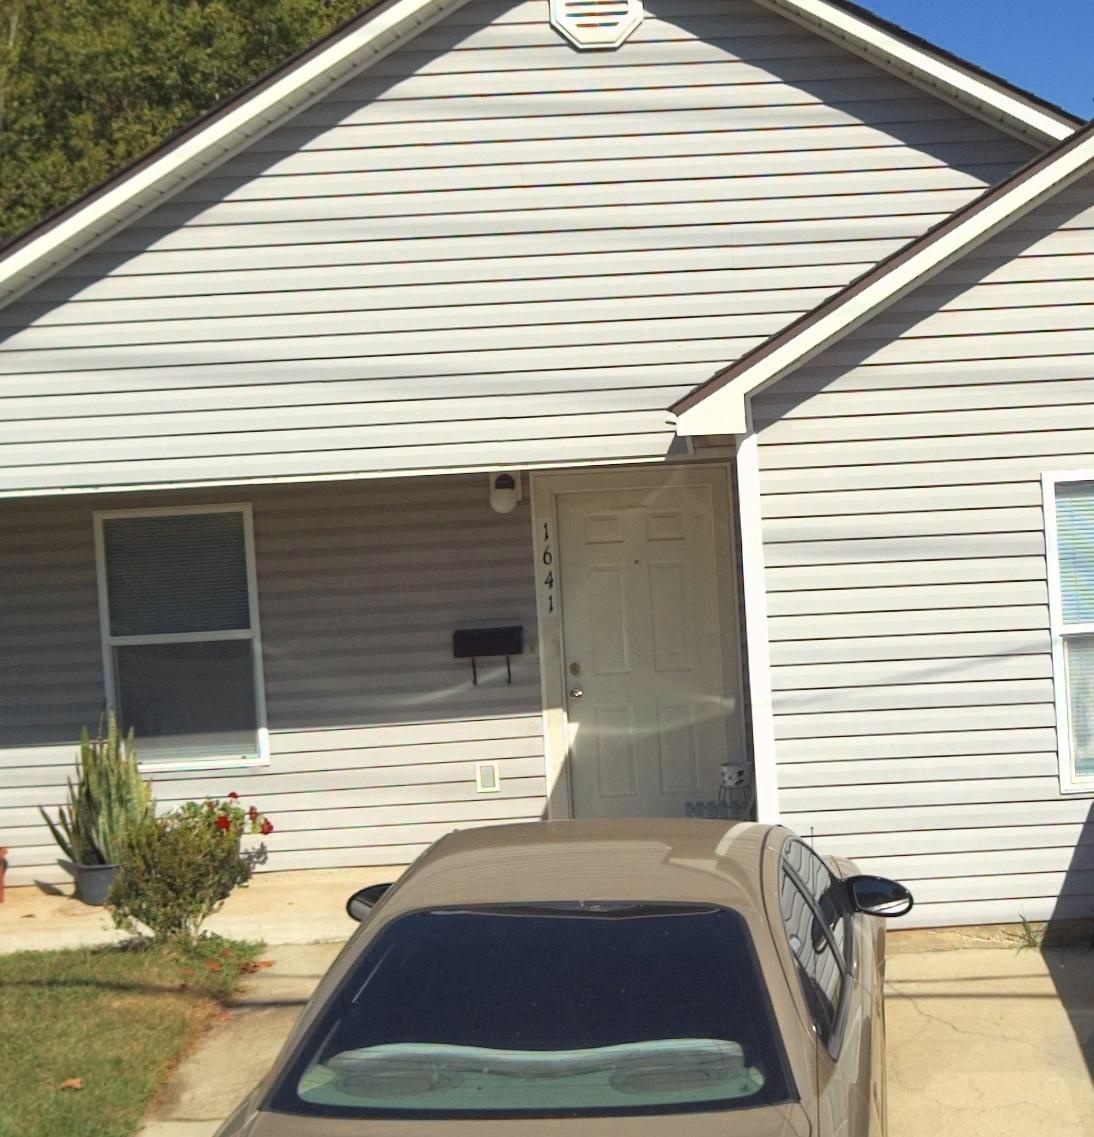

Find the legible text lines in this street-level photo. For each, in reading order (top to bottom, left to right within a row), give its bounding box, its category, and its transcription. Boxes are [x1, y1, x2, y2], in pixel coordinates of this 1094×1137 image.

[540, 518, 556, 616] StreetNumber: 1641